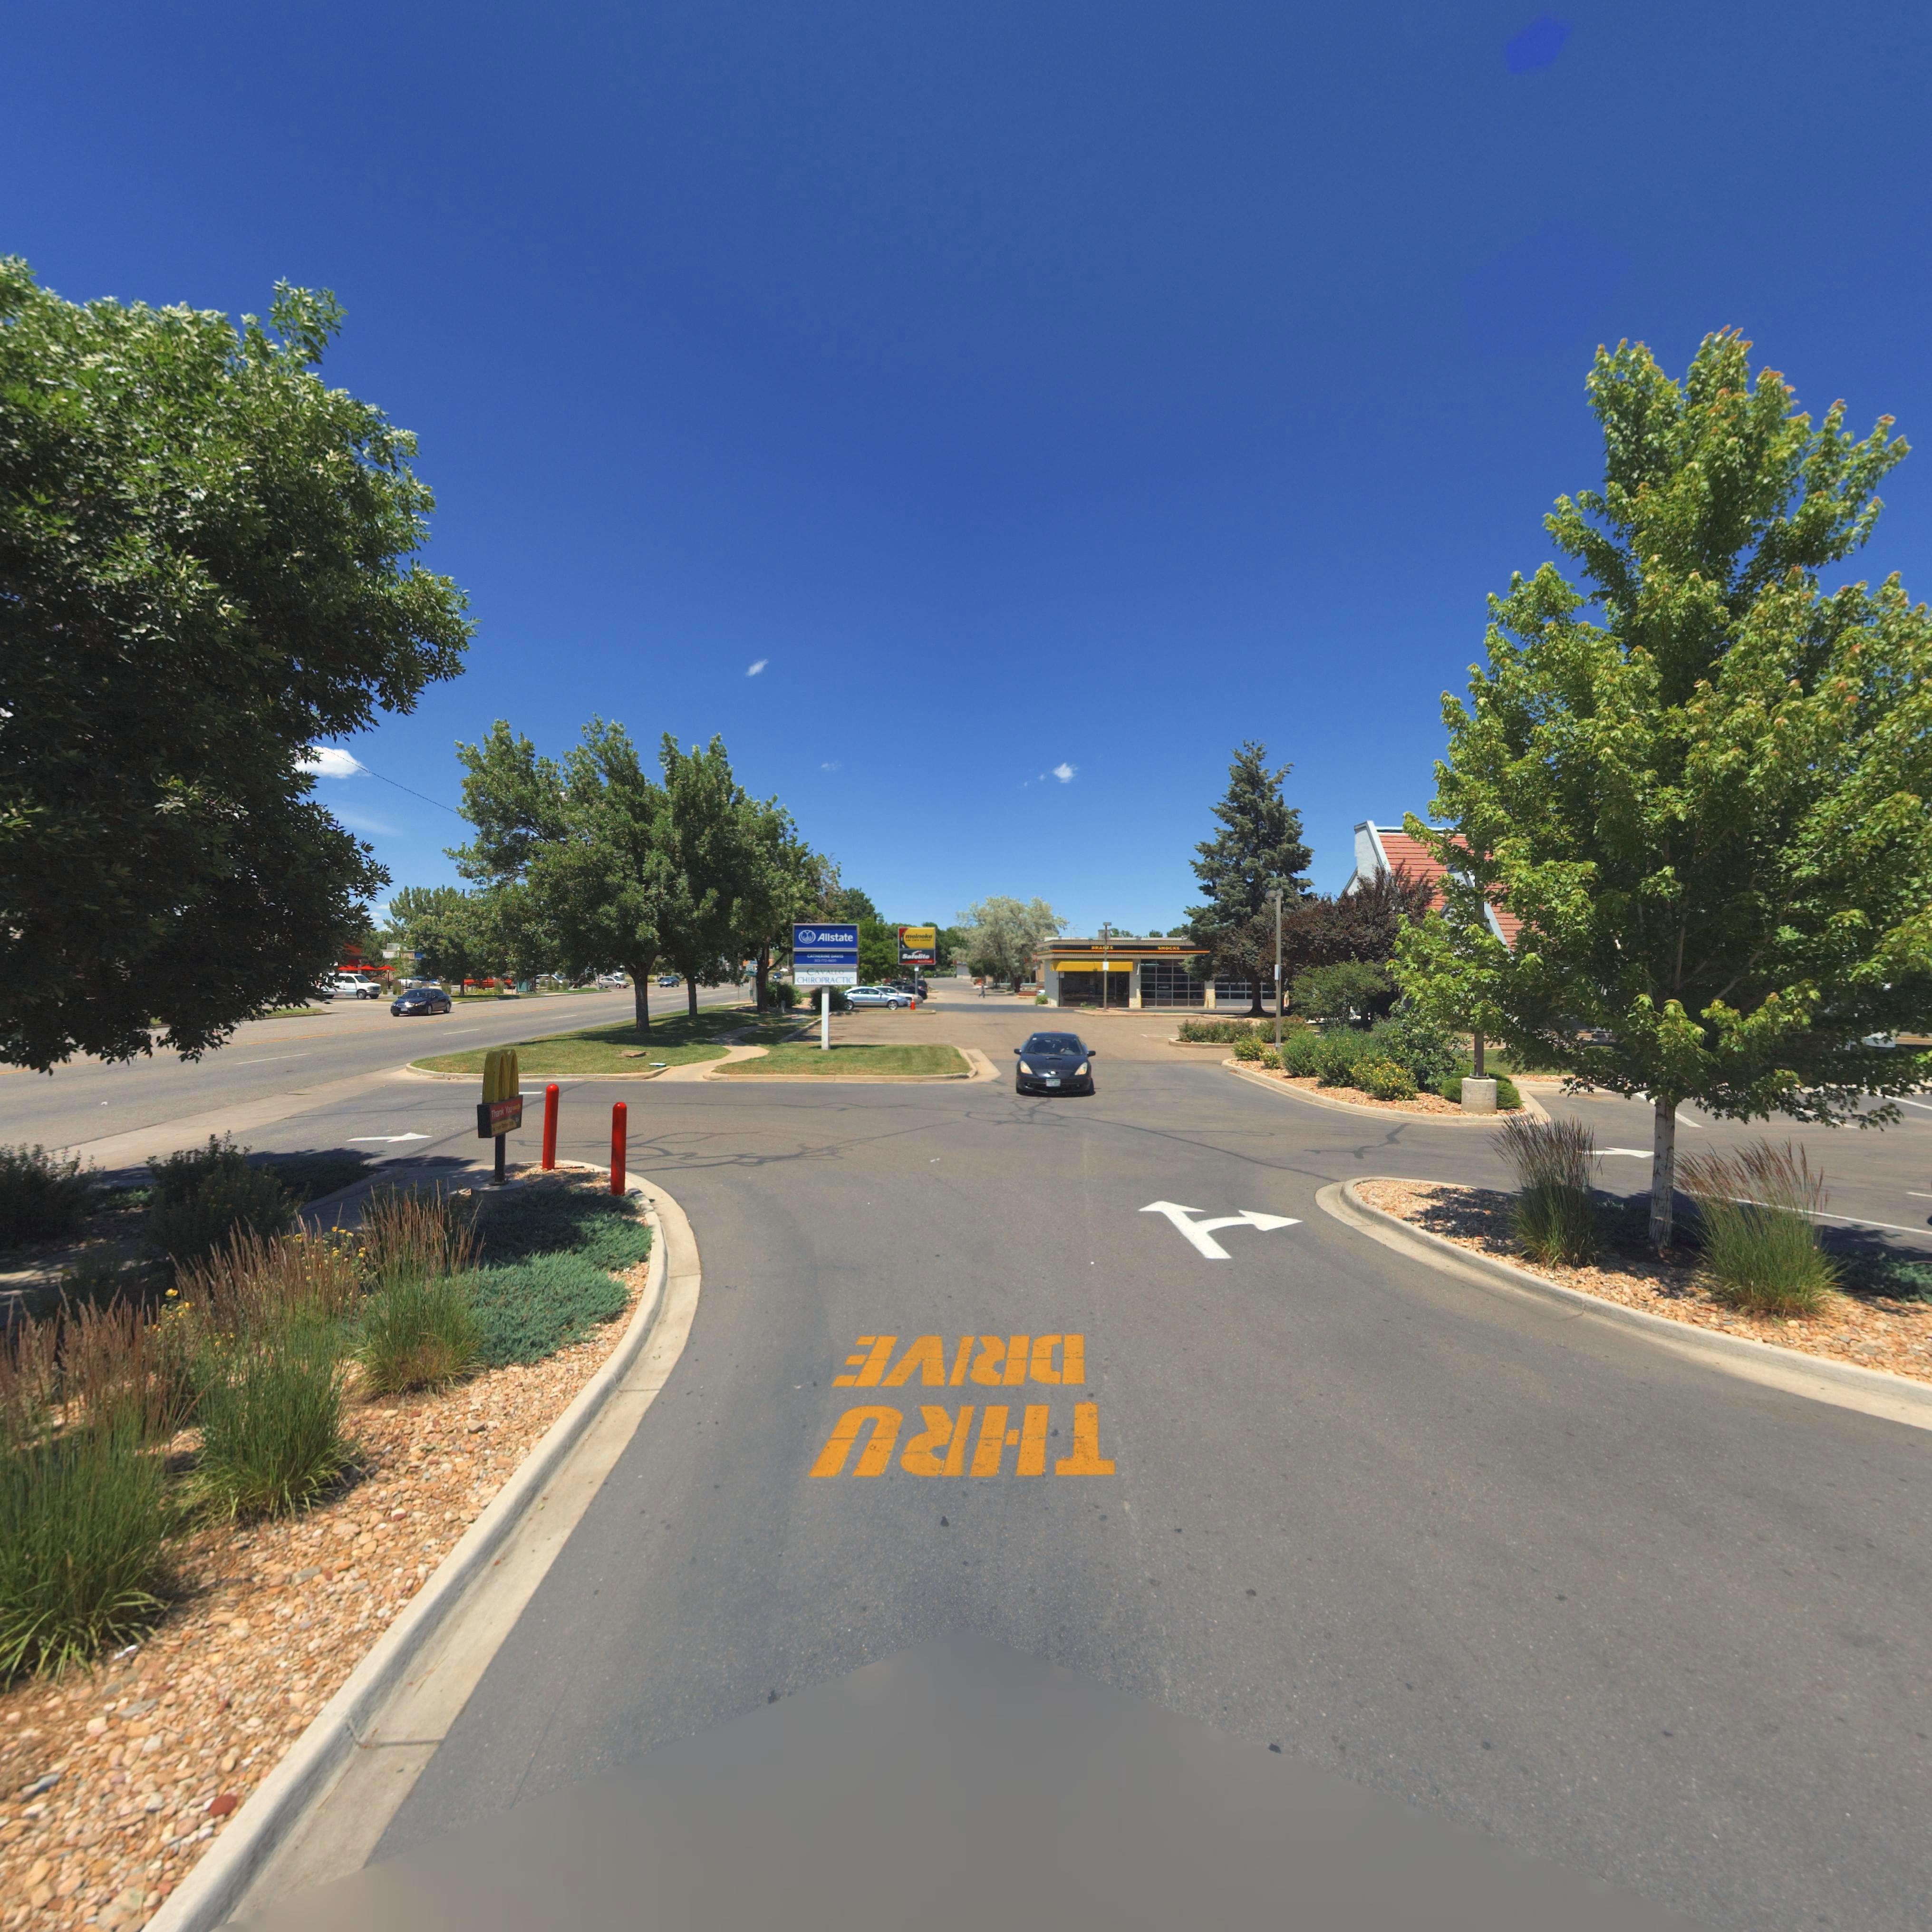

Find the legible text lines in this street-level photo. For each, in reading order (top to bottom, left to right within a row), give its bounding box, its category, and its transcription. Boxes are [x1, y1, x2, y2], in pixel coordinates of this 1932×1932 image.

[817, 932, 853, 942] BusinessName: Allstate
[905, 933, 932, 938] BusinessName: meineke
[901, 953, 930, 959] BusinessName: Safelite
[806, 967, 844, 976] BusinessName: CAVALLO
[796, 976, 854, 984] BusinessName: CHIROPRACTIC